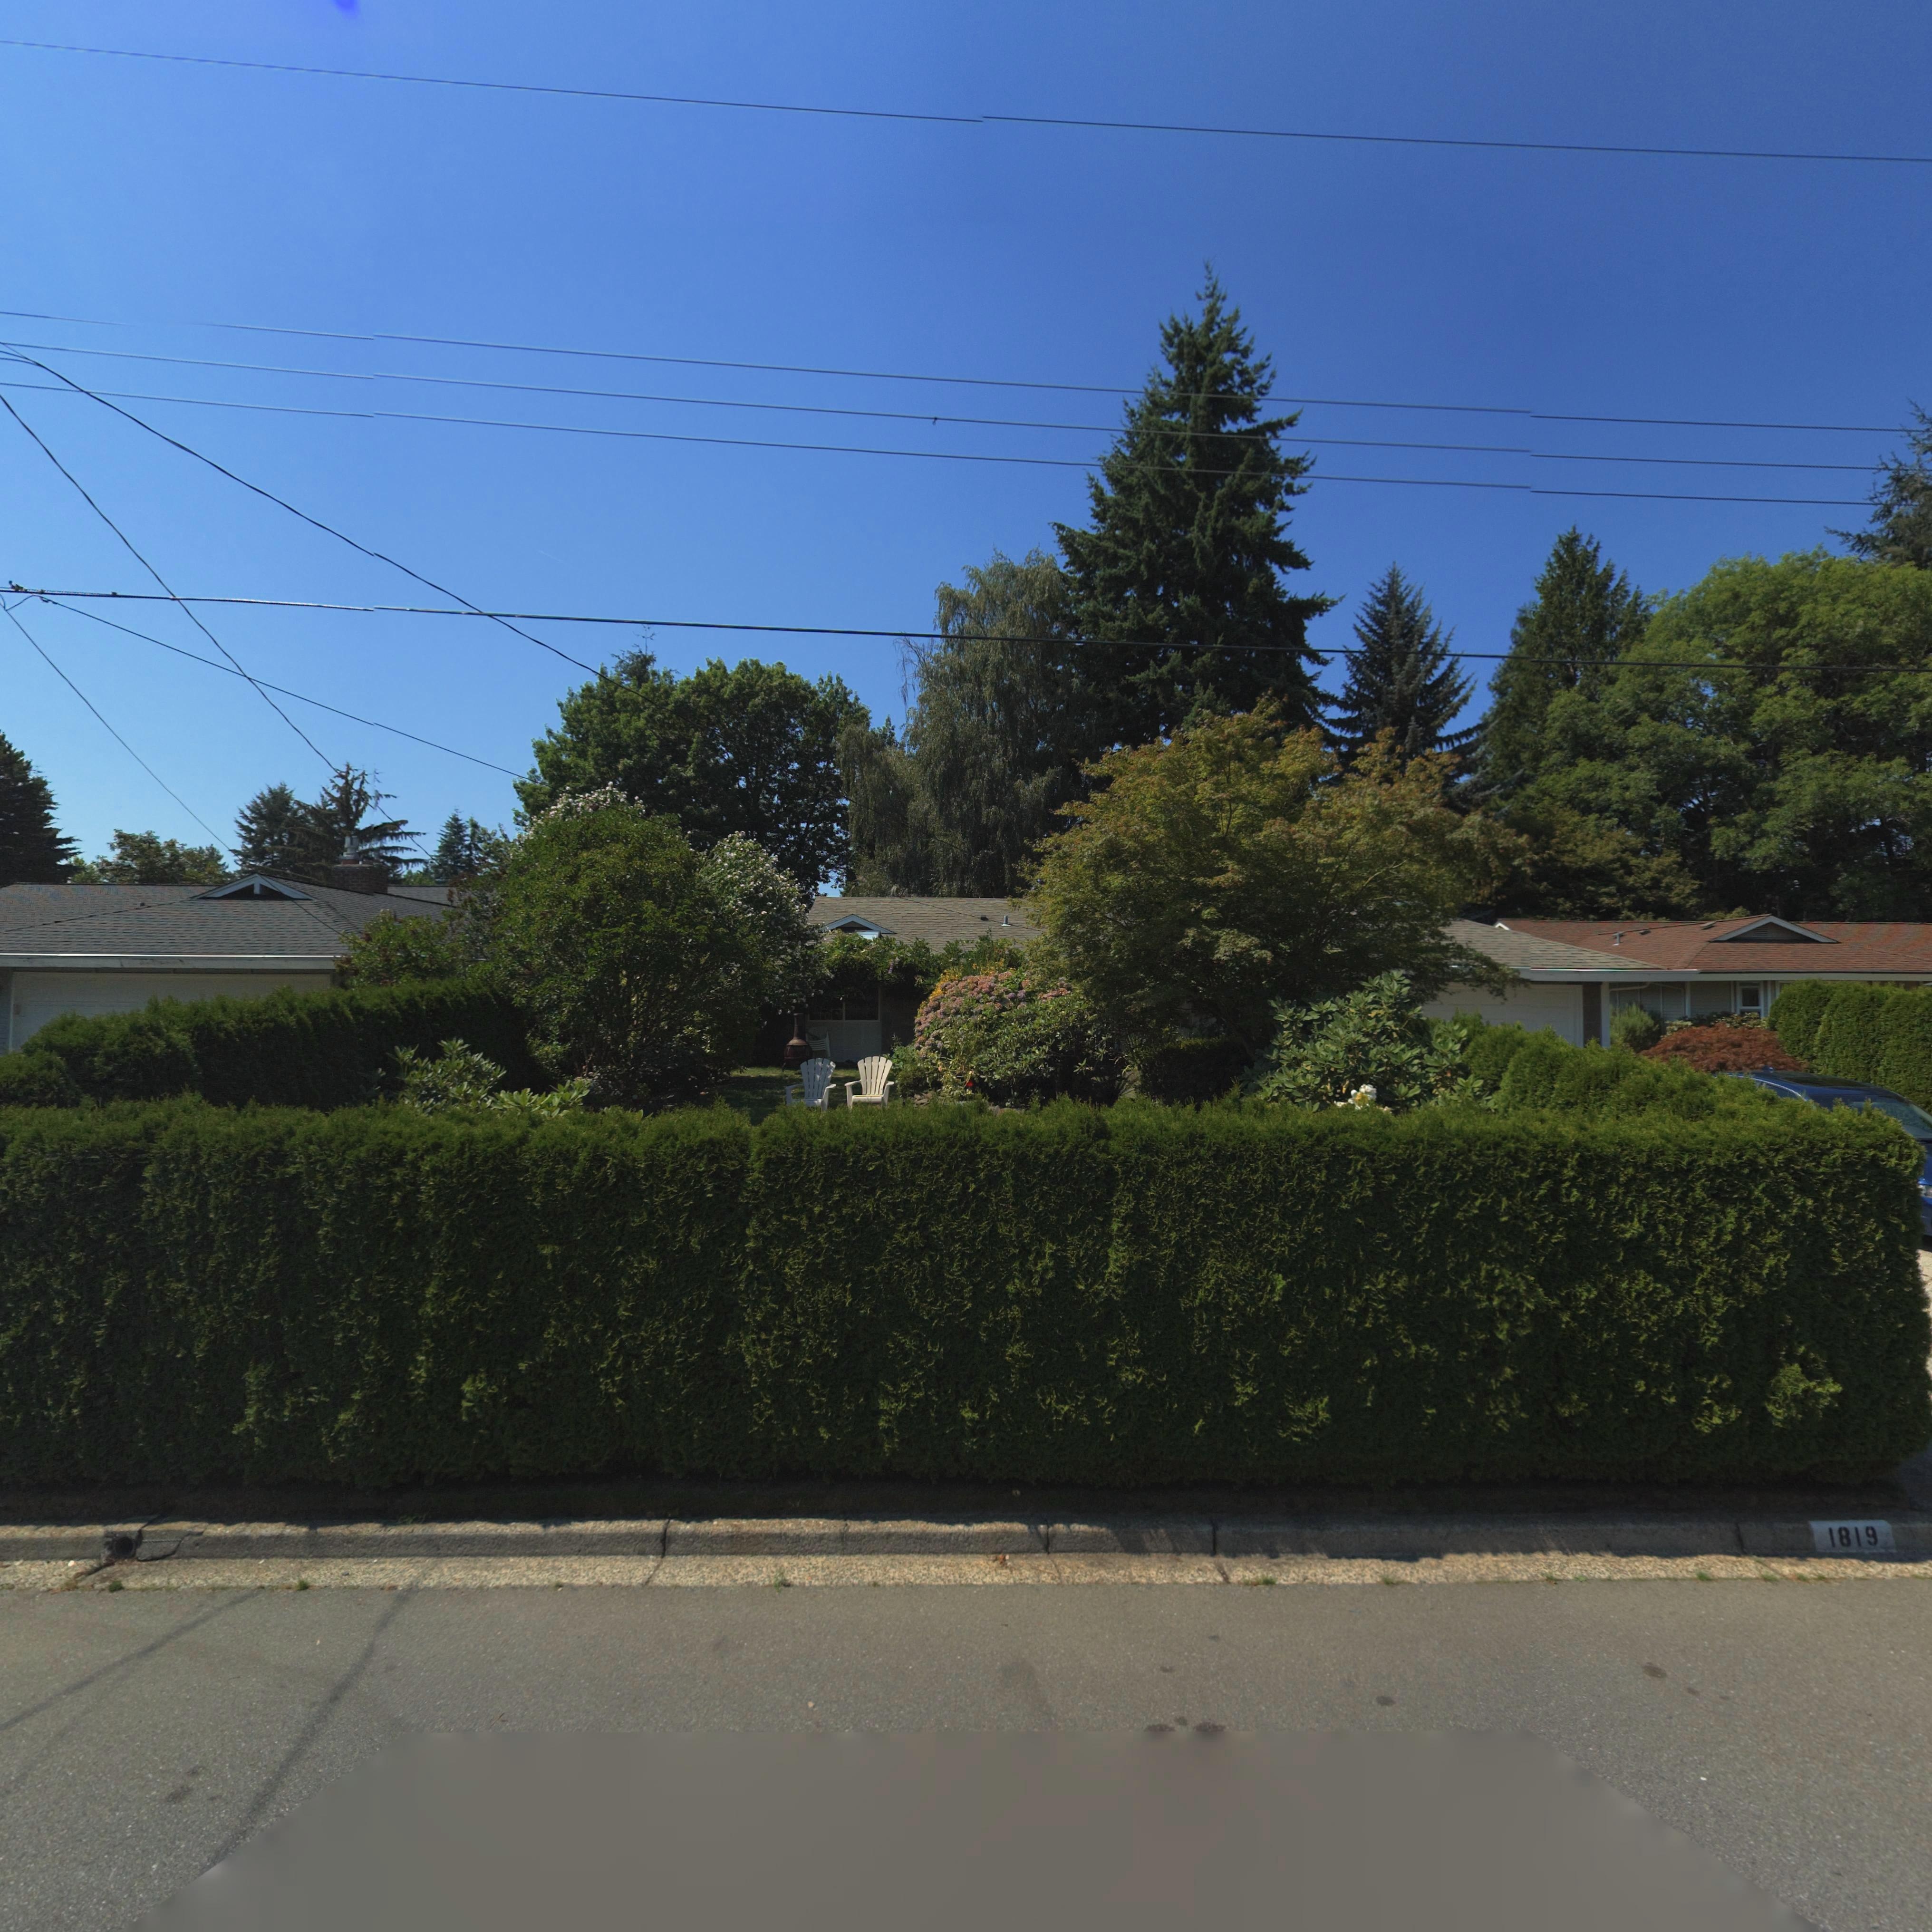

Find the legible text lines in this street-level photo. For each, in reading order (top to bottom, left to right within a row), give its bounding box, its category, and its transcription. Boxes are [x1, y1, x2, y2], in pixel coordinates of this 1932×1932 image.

[1829, 1526, 1878, 1549] StreetNumber: 1819